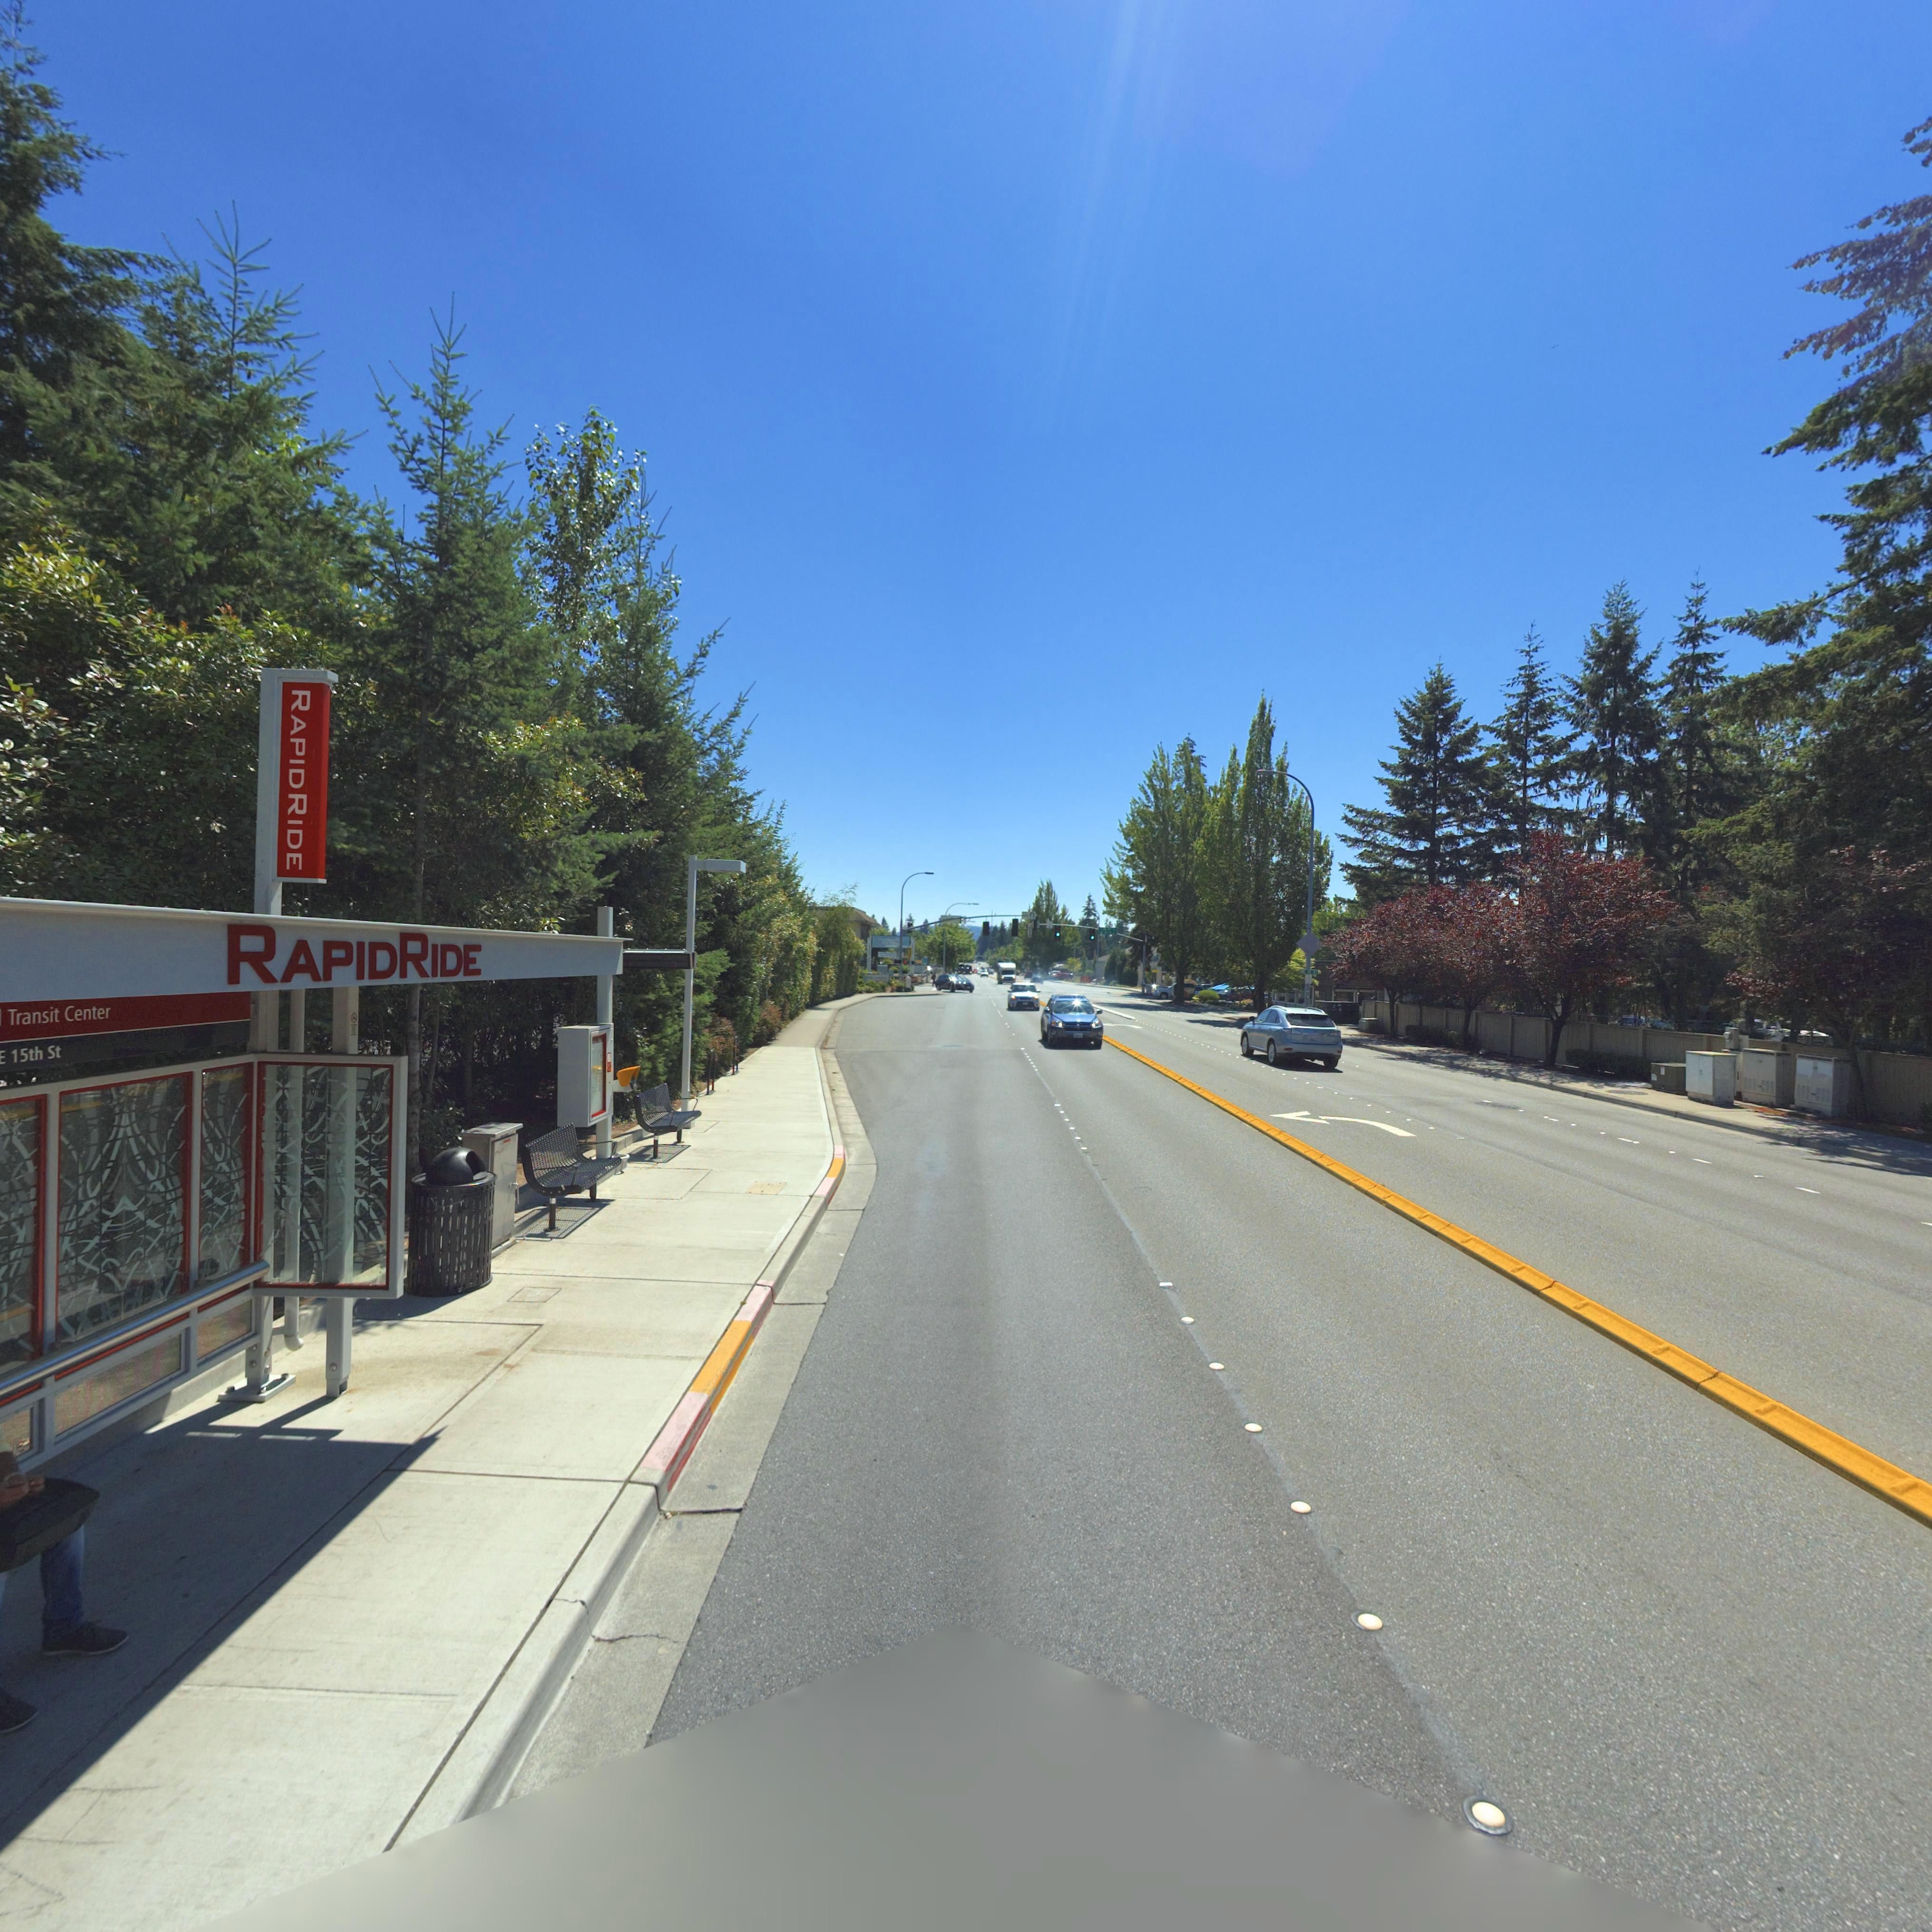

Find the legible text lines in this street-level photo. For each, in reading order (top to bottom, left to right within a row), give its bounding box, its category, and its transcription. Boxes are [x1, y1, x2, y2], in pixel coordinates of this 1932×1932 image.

[12, 1045, 61, 1062] StreetName: 15th St